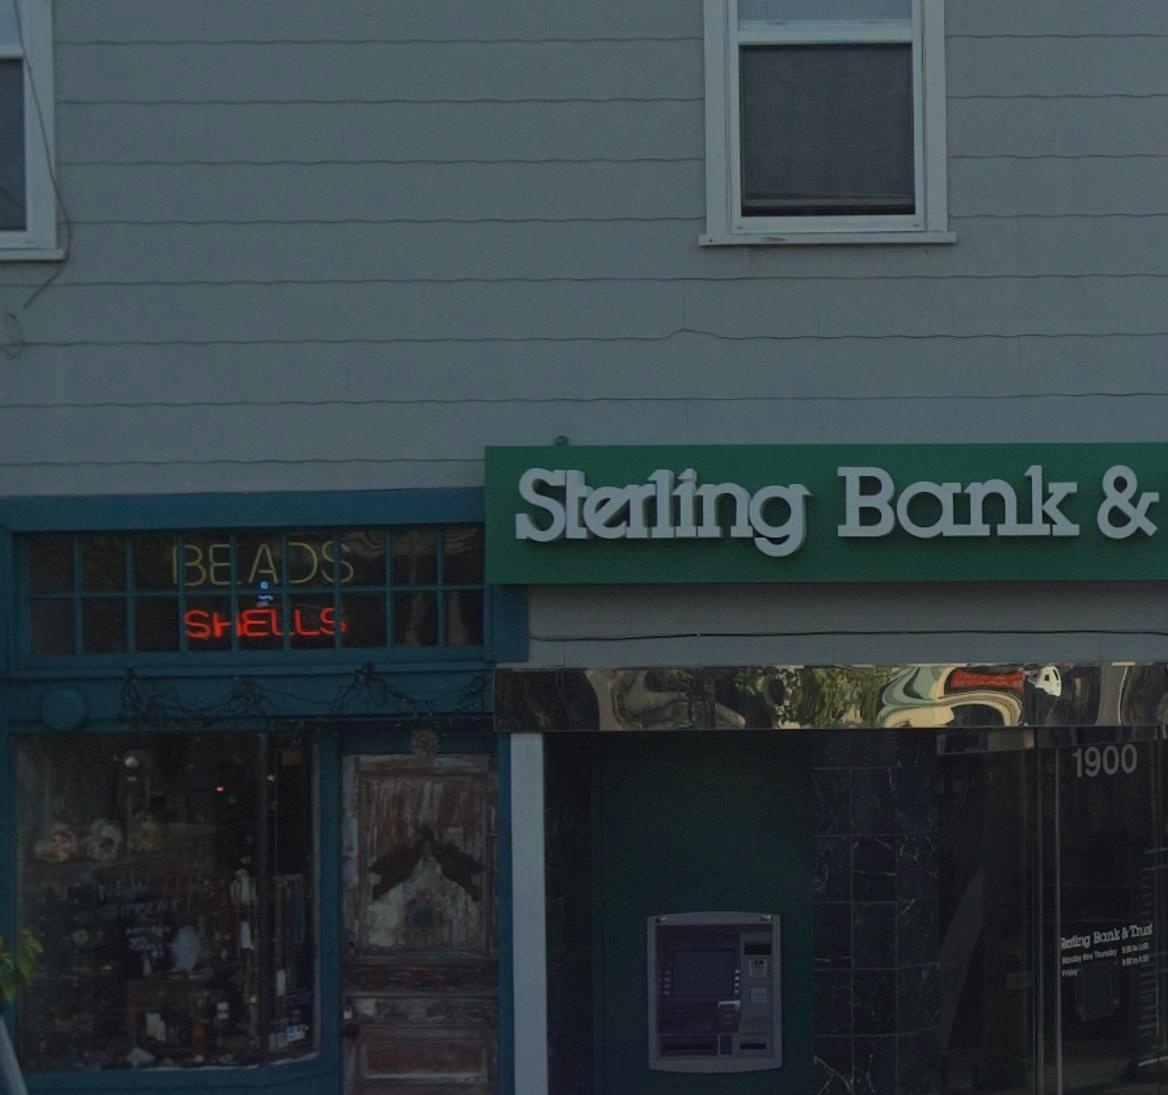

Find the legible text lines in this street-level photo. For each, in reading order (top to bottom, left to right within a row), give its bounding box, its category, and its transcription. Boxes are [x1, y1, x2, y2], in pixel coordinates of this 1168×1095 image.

[508, 458, 1087, 565] BusinessName: Sterling Bank
[242, 539, 284, 587] None: A
[181, 606, 214, 642] None: S
[240, 604, 273, 642] None: E
[292, 606, 325, 640] None: L
[1070, 740, 1140, 782] StreetNumber: 1900
[1064, 919, 1155, 952] BusinessName: erling Bank & Trust